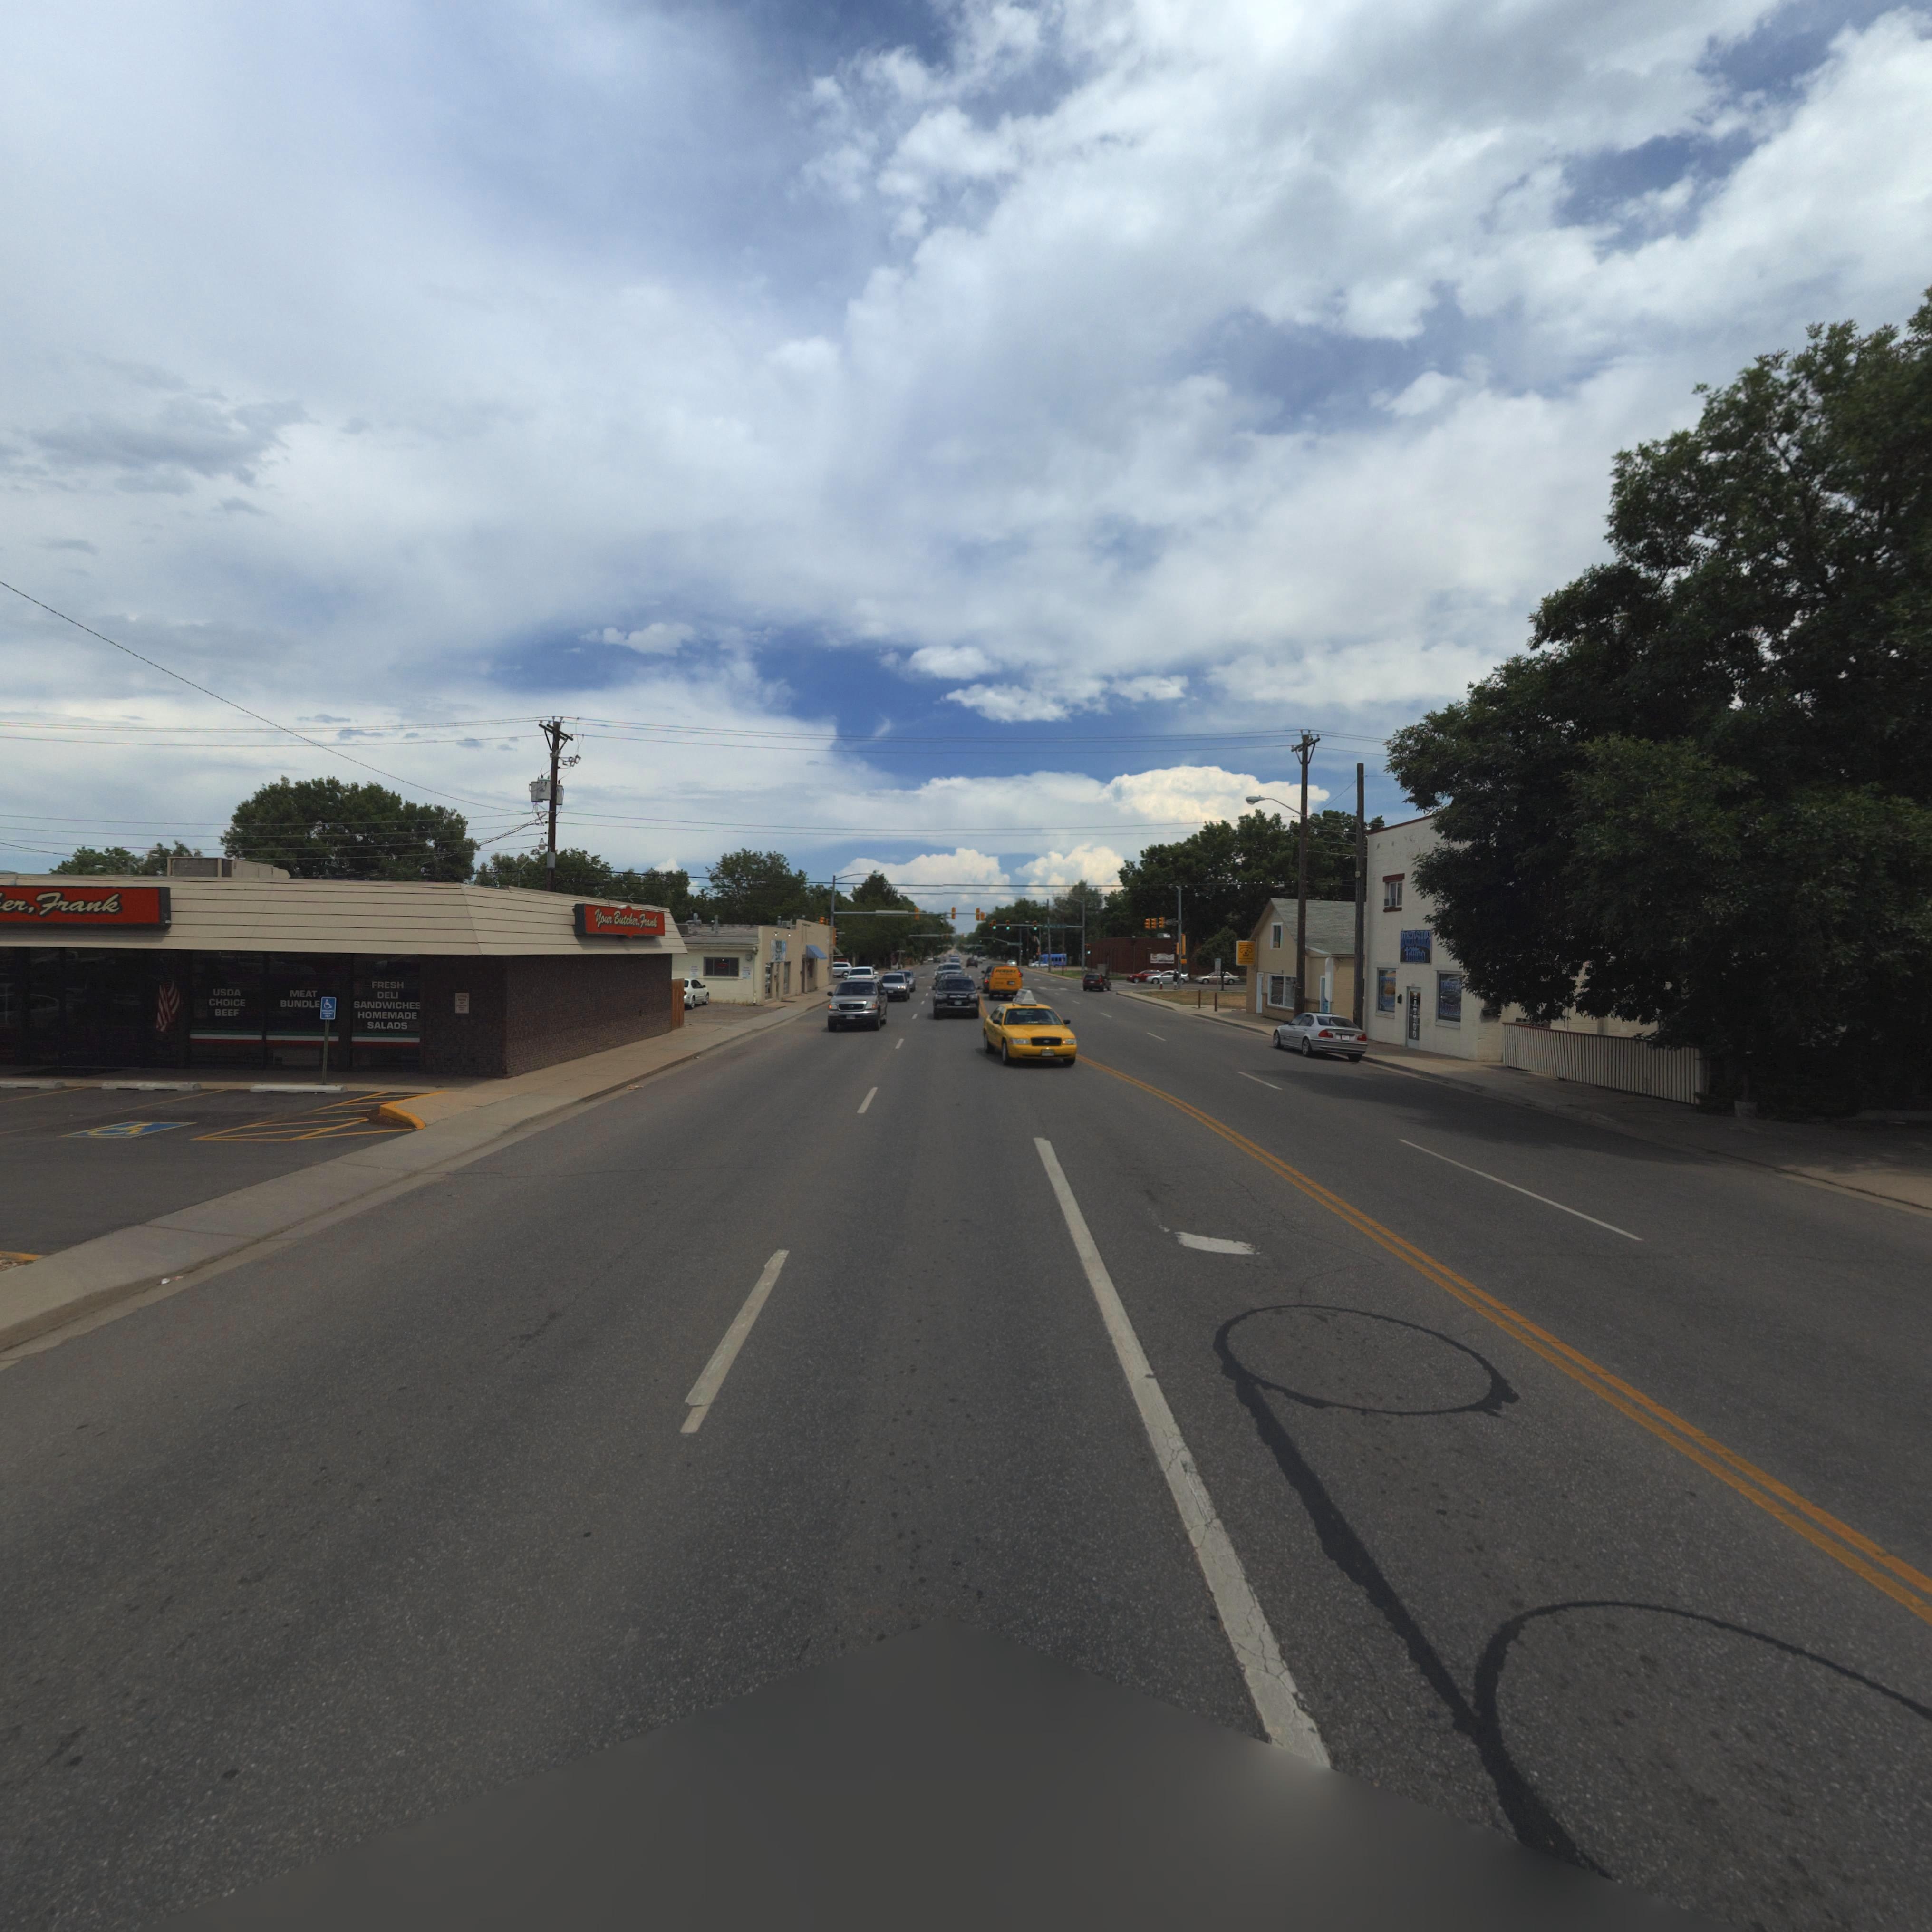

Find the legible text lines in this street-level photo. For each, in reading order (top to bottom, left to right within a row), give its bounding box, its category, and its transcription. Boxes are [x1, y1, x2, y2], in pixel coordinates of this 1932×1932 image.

[1, 889, 124, 918] BusinessName: er, Frank
[594, 908, 658, 930] BusinessName: Your Butcher, Frank
[1401, 930, 1430, 951] BusinessName: INKED*SOULS
[1440, 979, 1462, 996] BusinessName: INKED
[1439, 999, 1461, 1016] BusinessName: SOULS